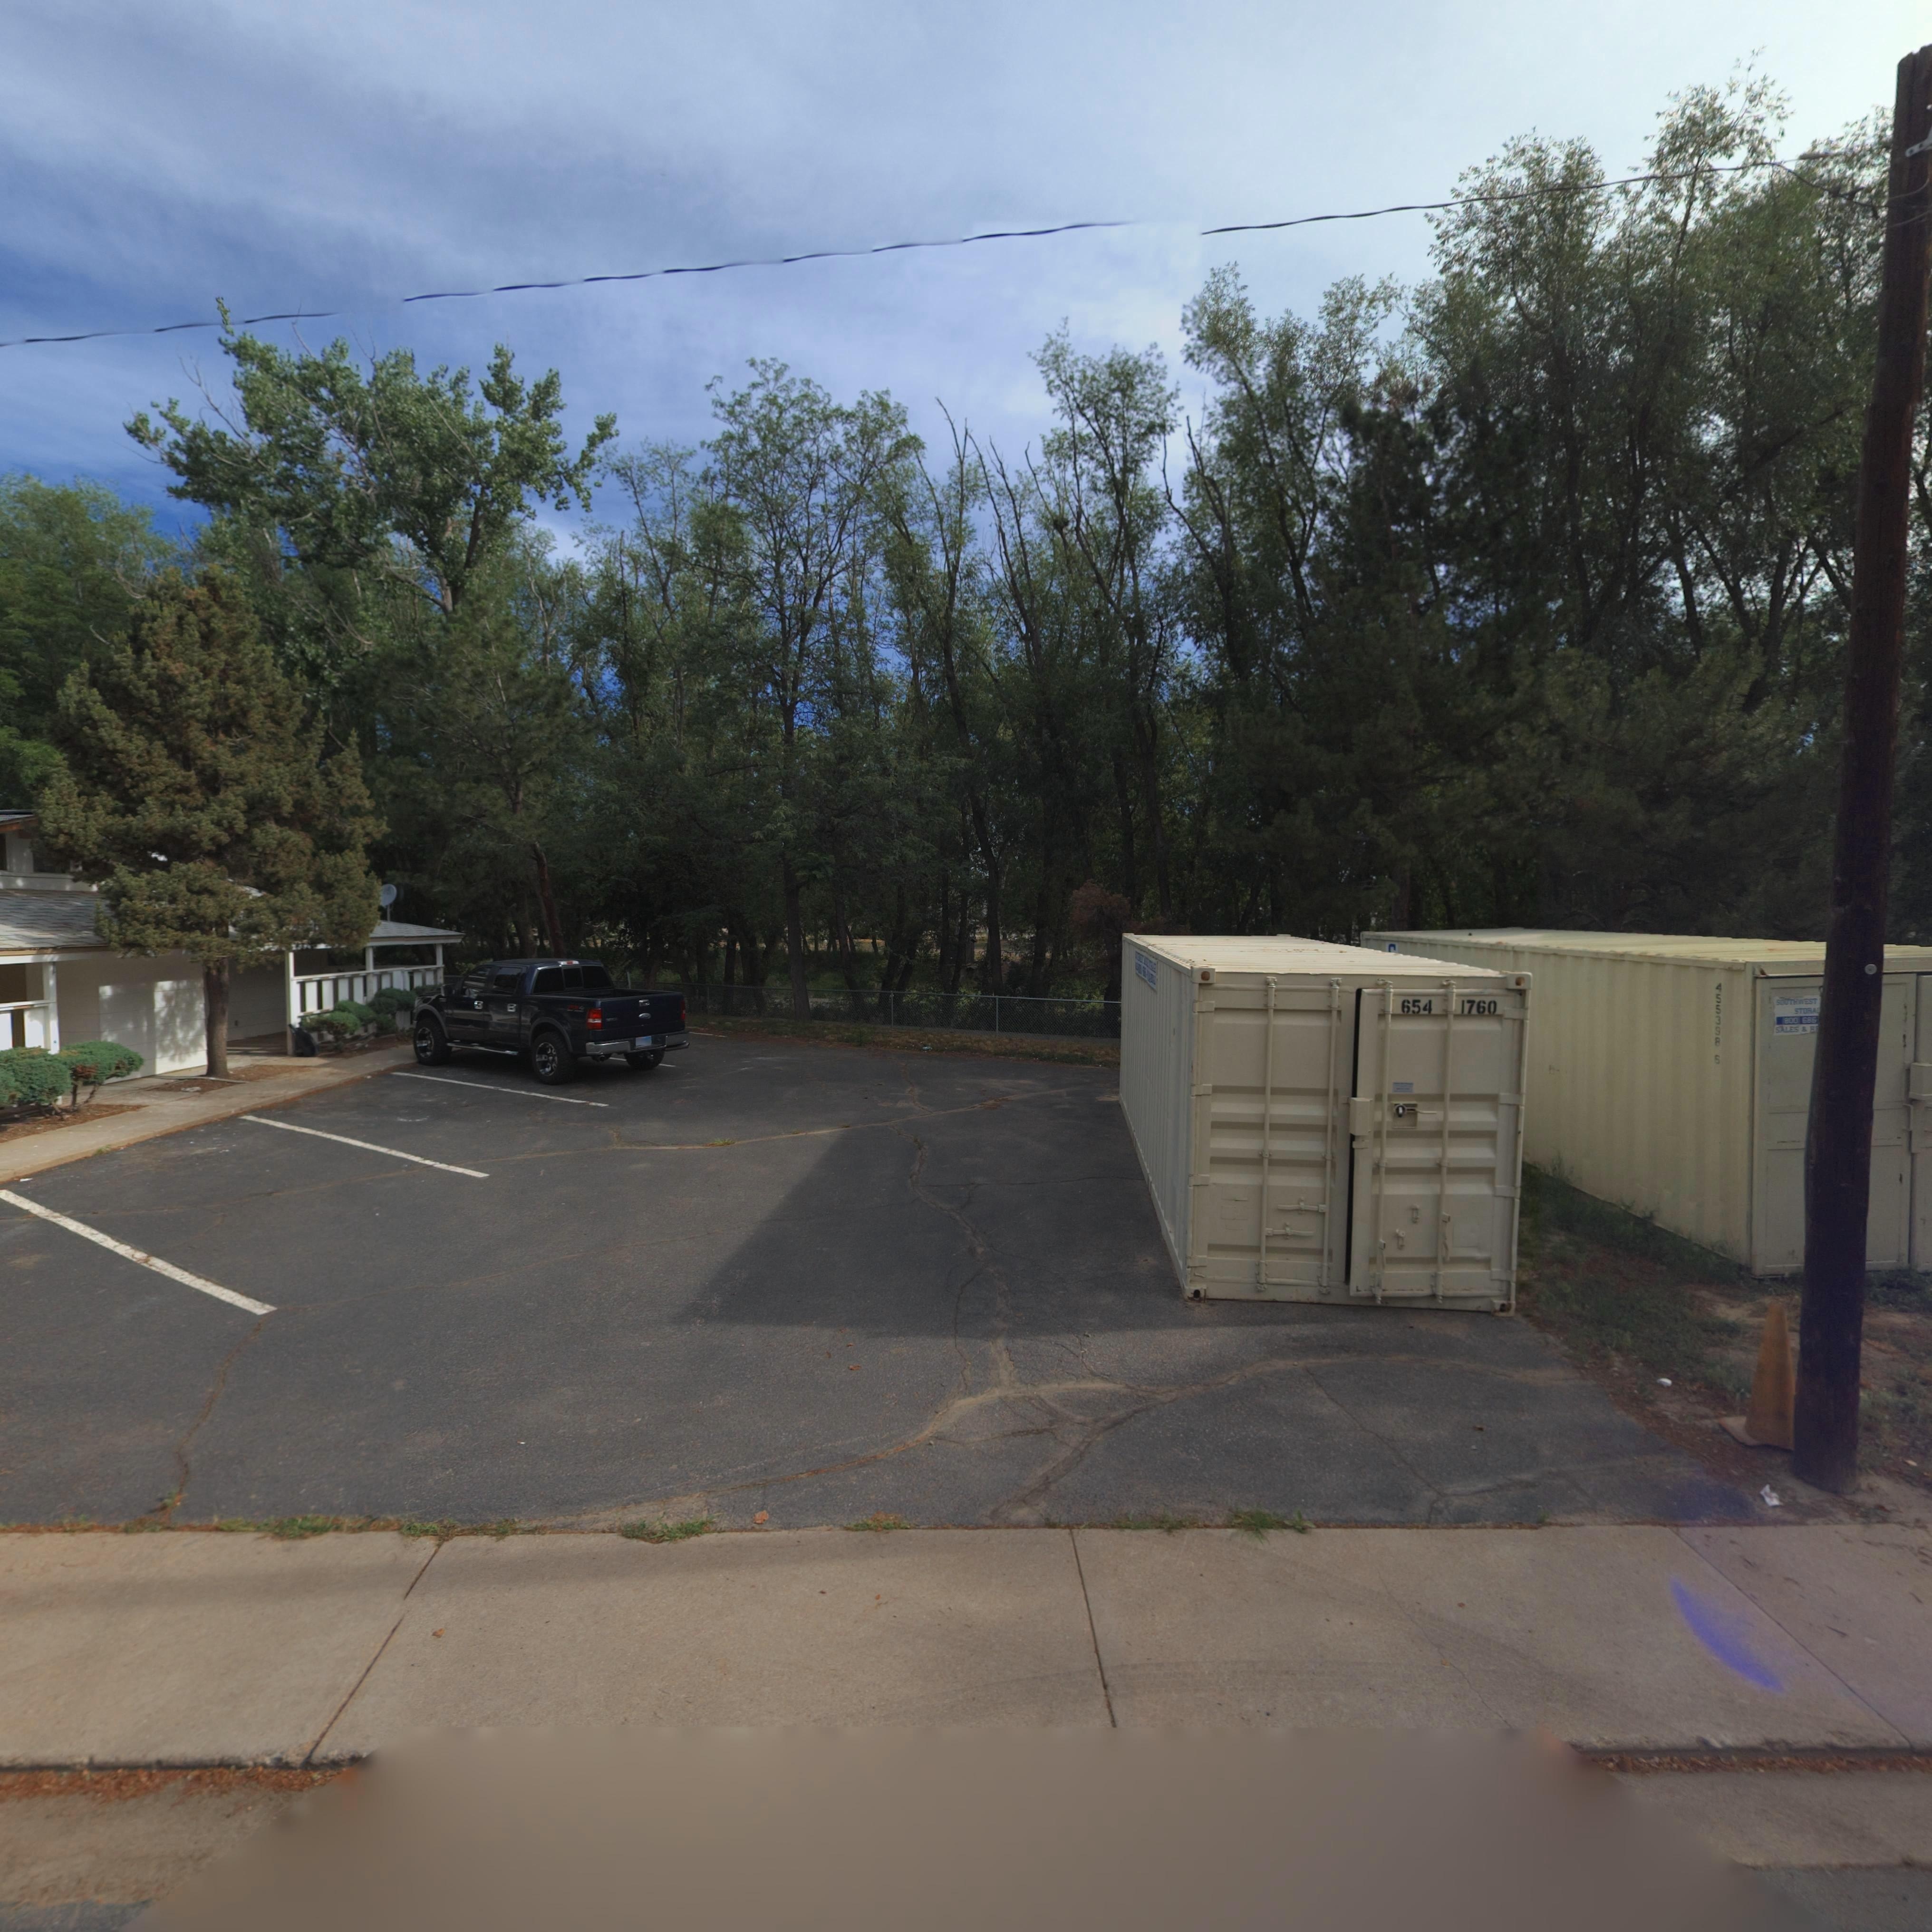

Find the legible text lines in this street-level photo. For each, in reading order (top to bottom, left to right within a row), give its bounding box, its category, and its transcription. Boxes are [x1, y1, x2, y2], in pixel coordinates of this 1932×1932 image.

[1462, 1000, 1497, 1016] StreetNumber: 760